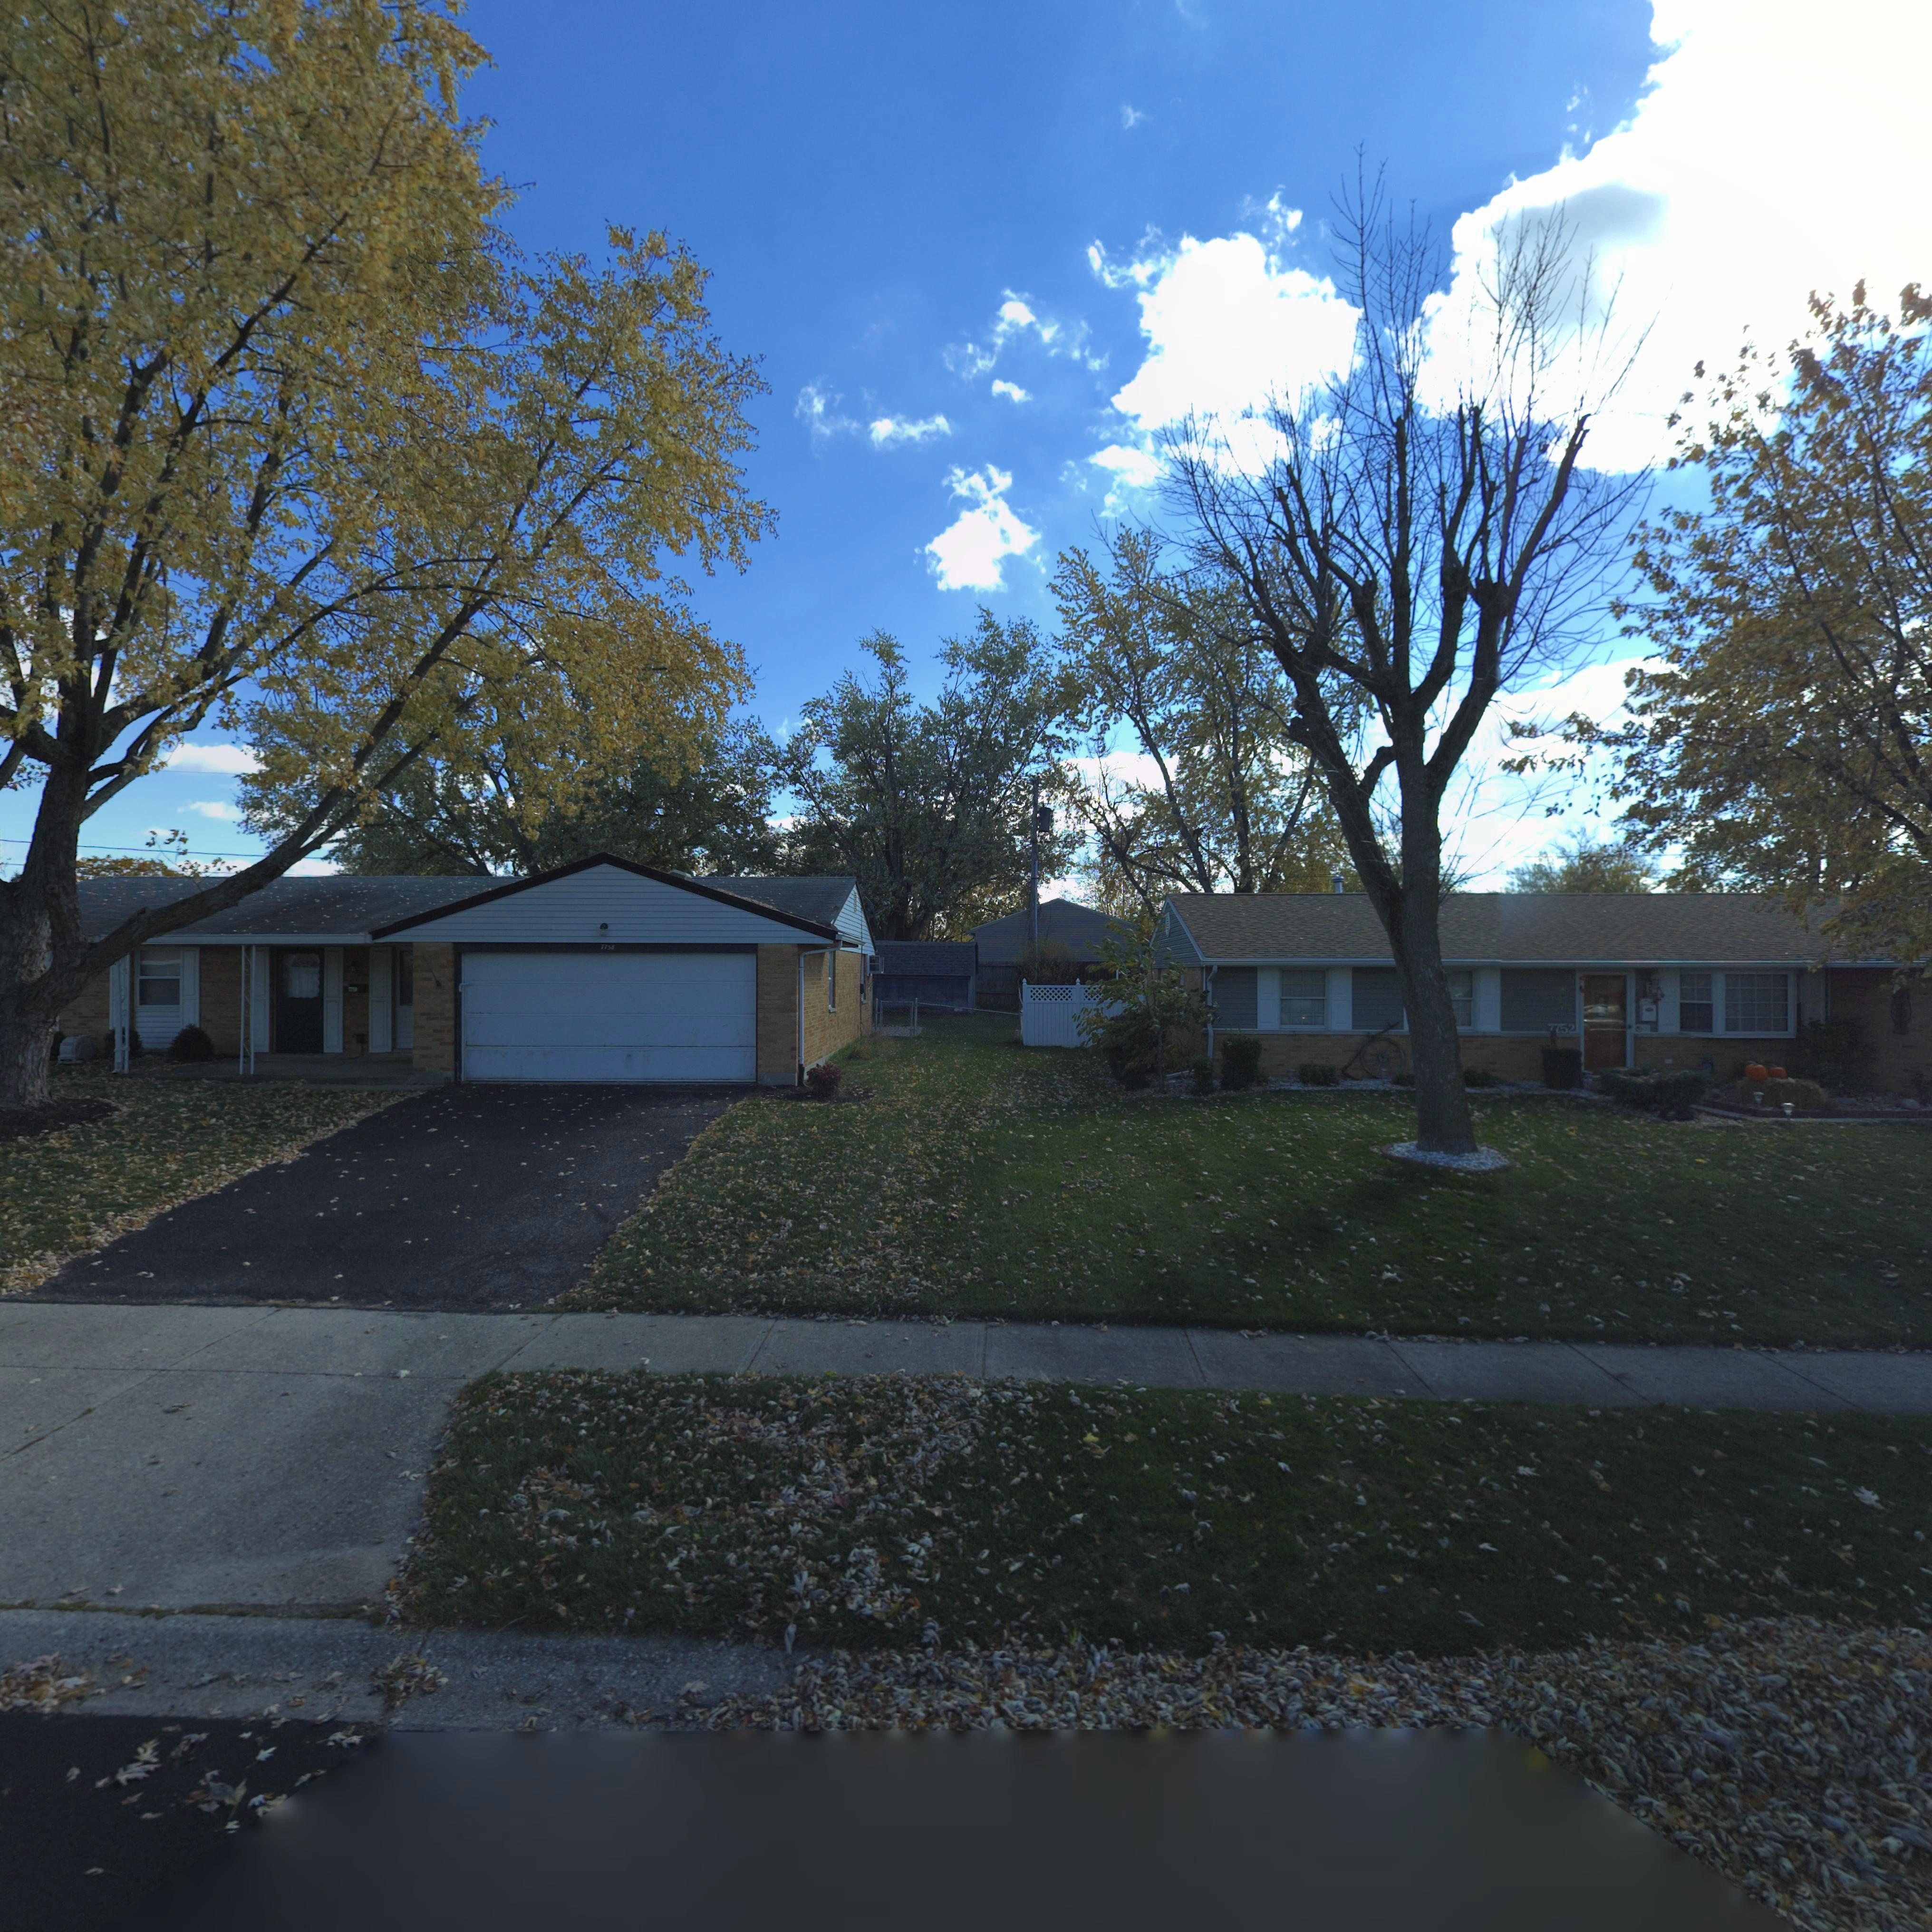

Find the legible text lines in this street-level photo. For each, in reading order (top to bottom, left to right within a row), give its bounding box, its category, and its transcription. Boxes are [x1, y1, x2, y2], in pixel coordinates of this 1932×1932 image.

[600, 944, 615, 950] StreetNumber: 7758
[348, 986, 358, 992] StreetNumber: 7758
[1547, 1023, 1576, 1034] StreetNumber: 7752